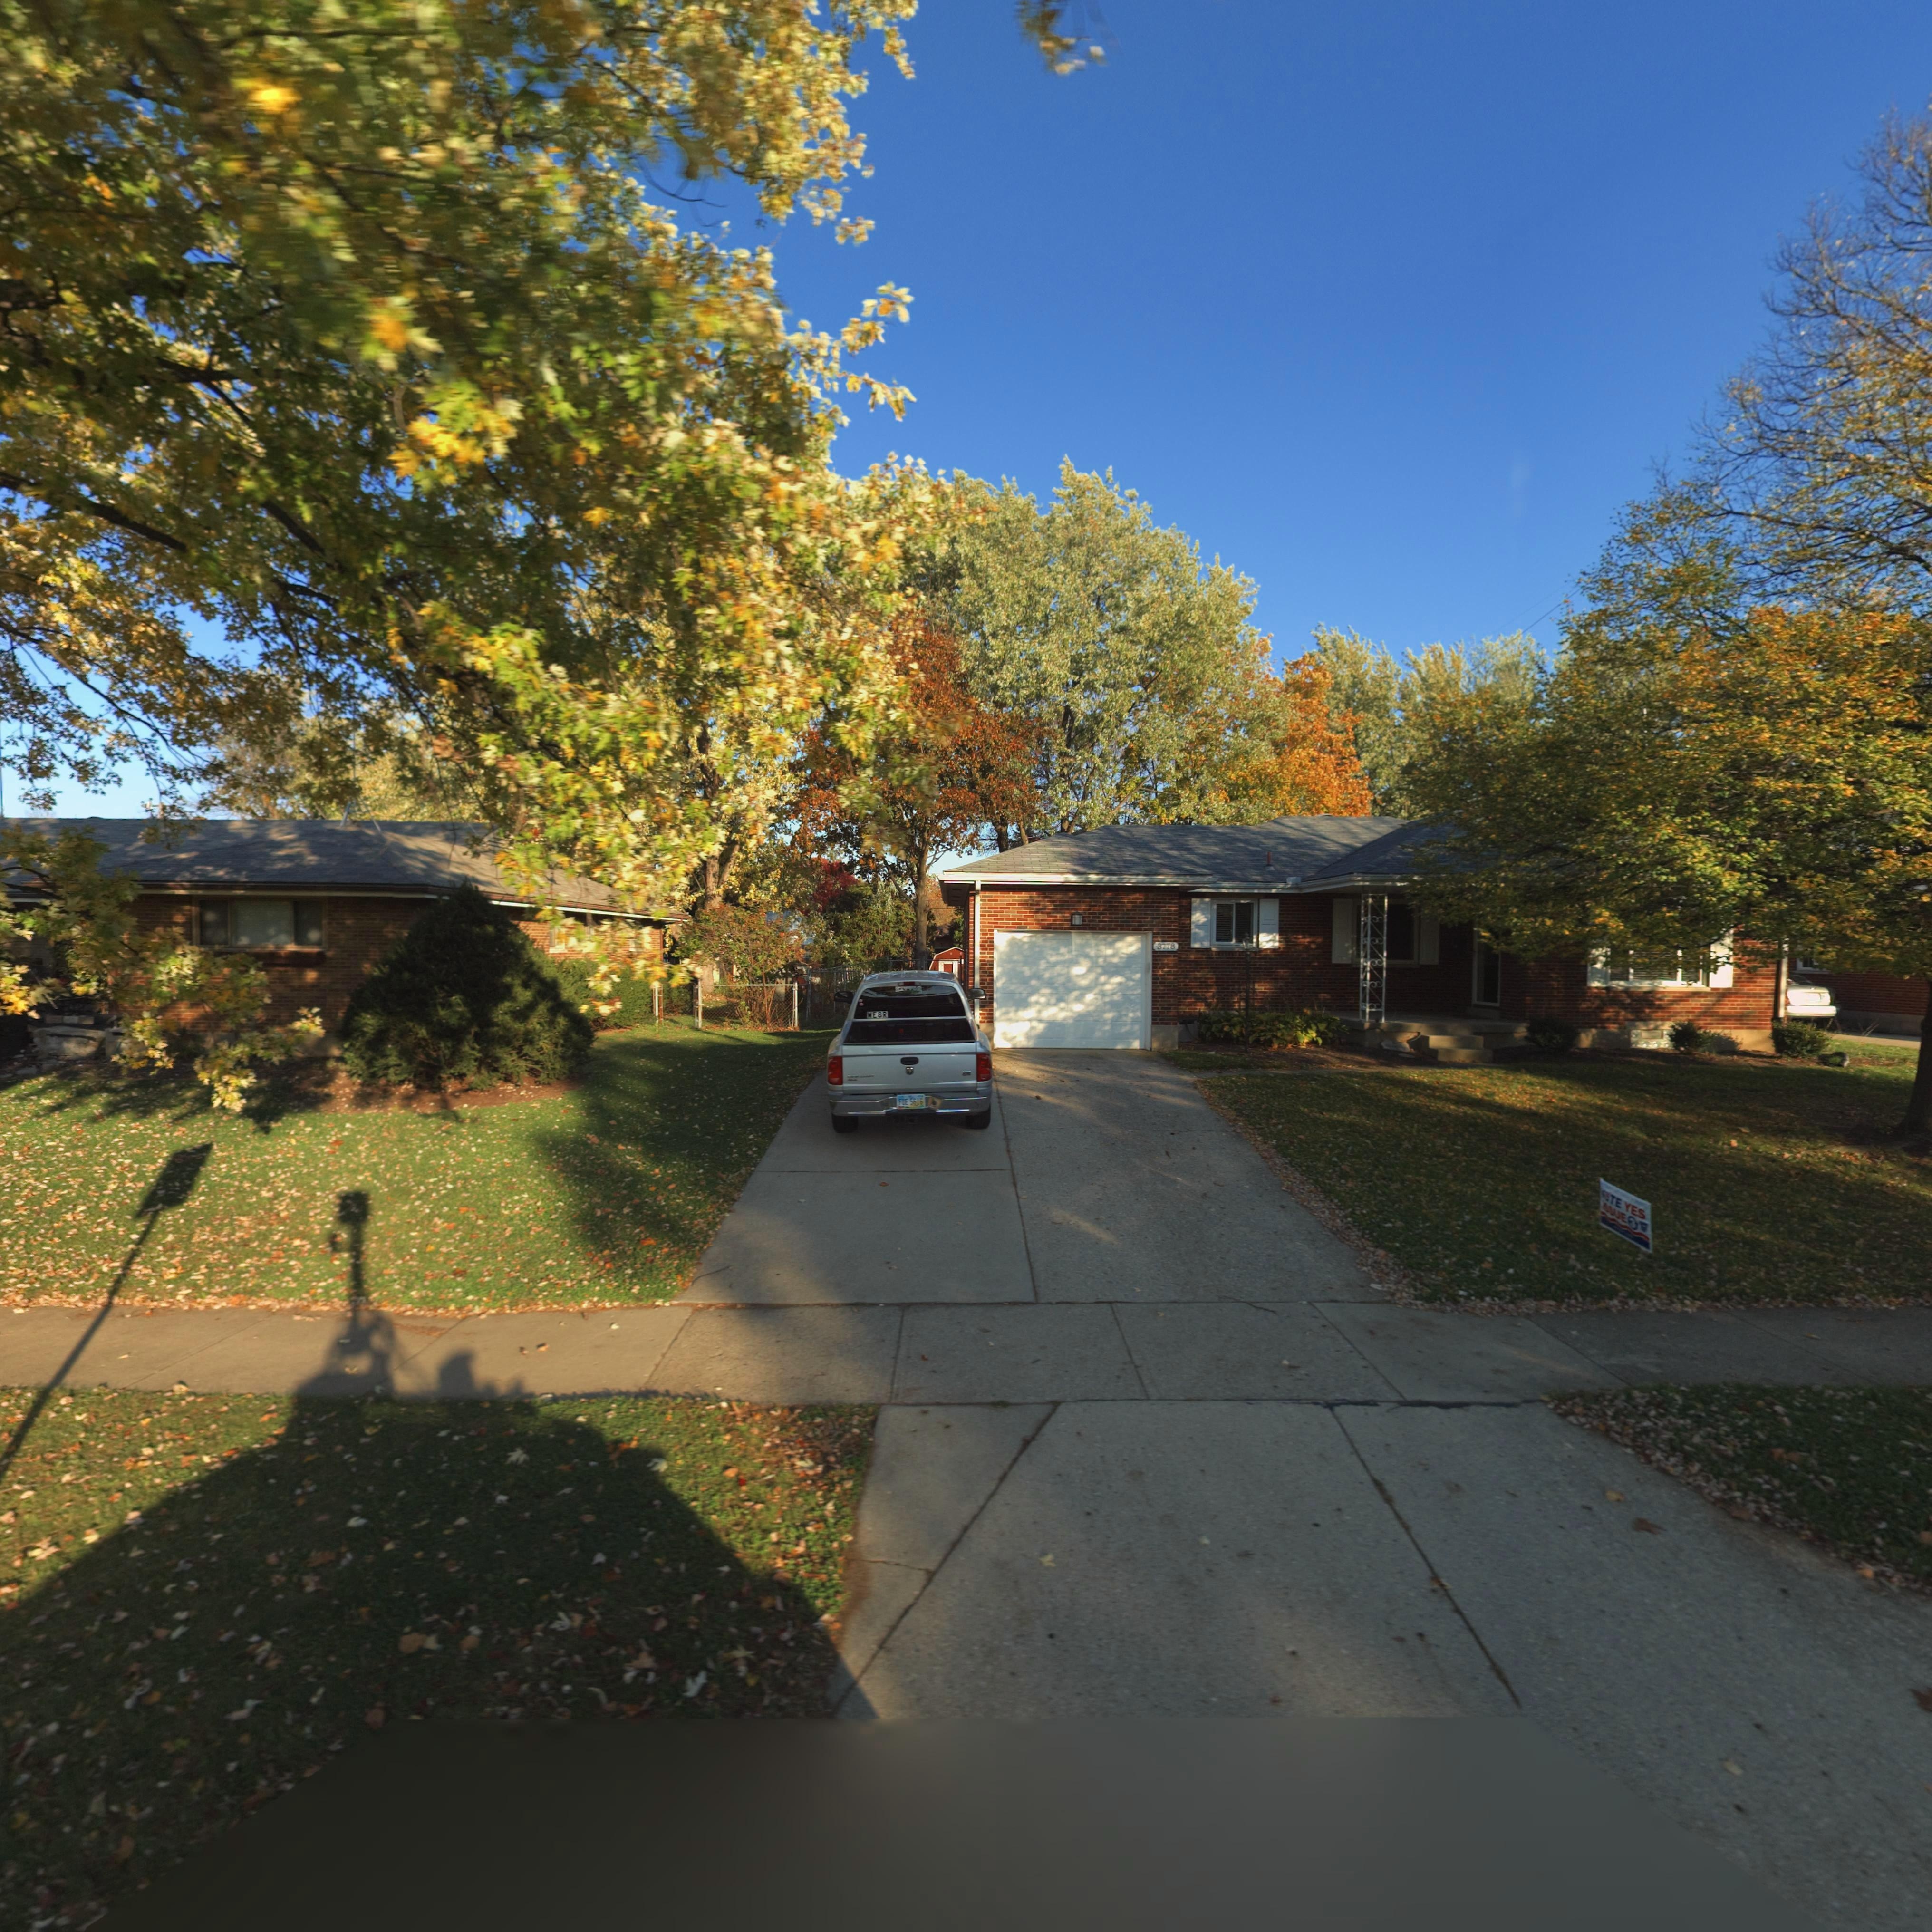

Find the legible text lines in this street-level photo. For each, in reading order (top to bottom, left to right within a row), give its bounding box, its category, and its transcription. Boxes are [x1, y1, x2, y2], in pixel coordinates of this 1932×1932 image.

[1156, 943, 1175, 950] StreetNumber: 3778